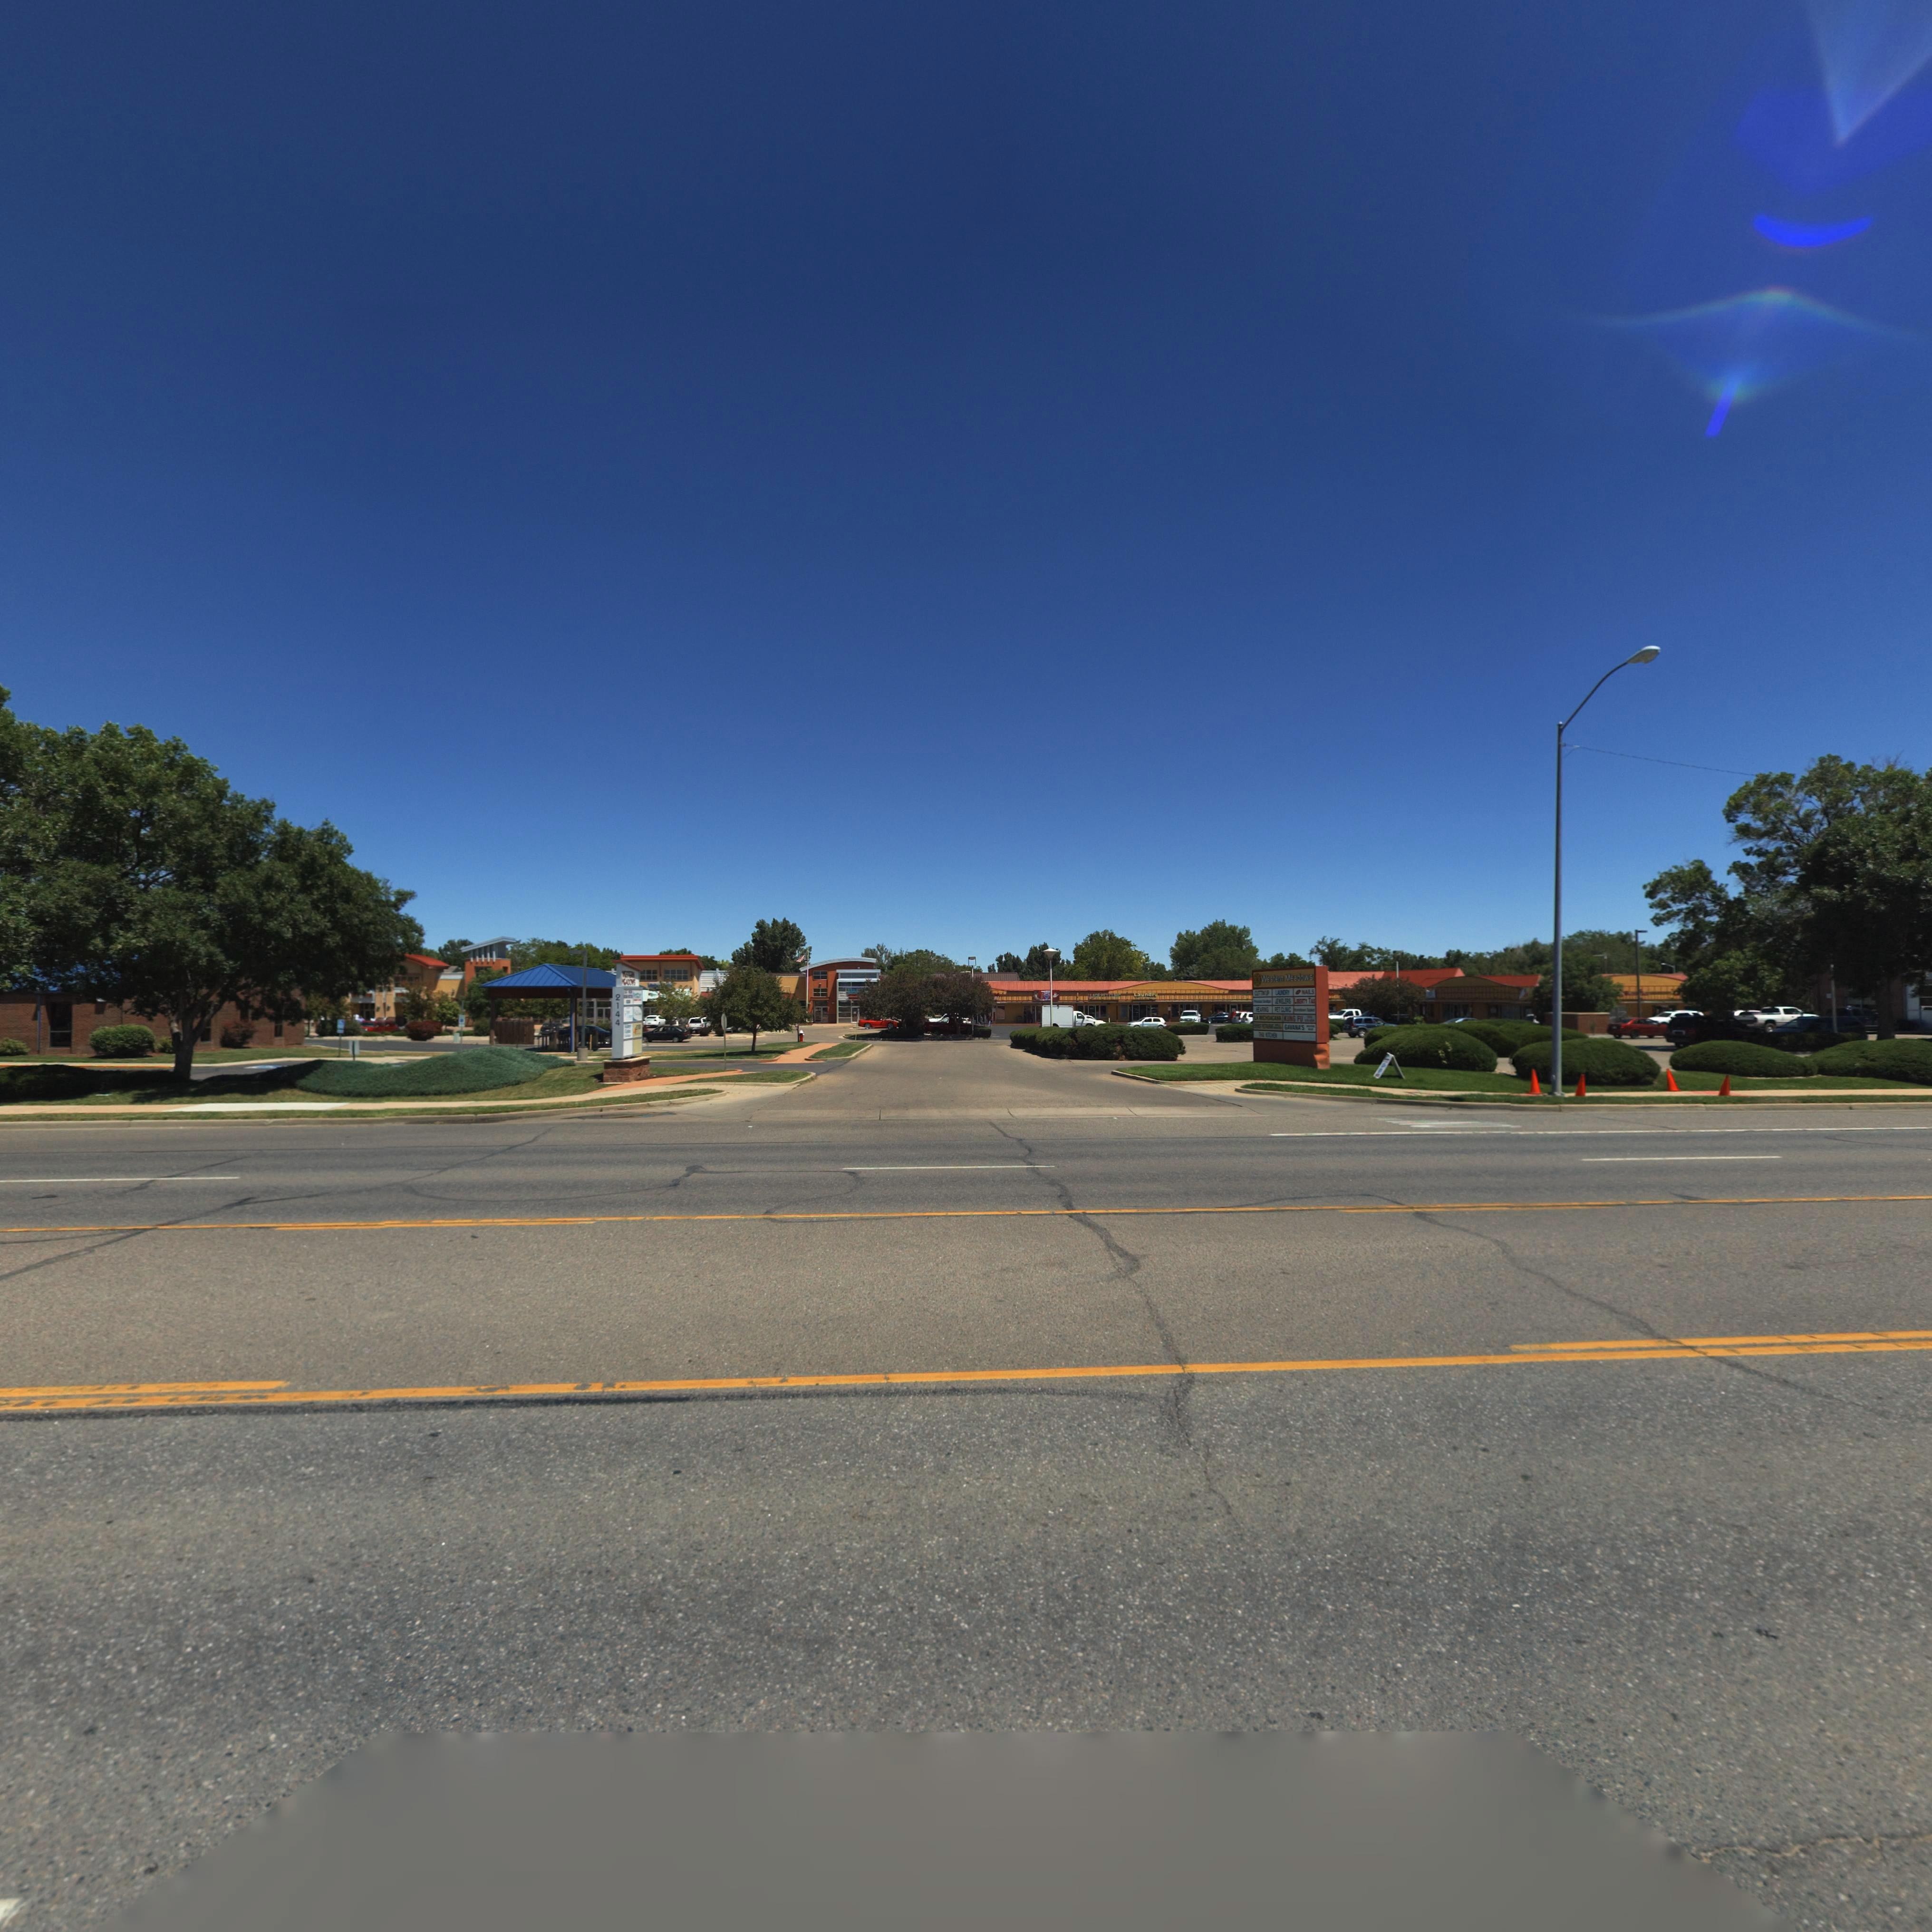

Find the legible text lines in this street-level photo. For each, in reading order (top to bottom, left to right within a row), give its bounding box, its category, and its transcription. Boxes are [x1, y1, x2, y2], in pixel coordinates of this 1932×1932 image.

[1092, 993, 1121, 997] BusinessName: AG* PET CL***C
[1254, 990, 1270, 996] BusinessName: CUTT*N' UP
[1301, 989, 1314, 995] BusinessName: NAILS
[1293, 997, 1316, 1004] BusinessName: LIBERTY TA*
[615, 993, 620, 1026] StreetNumber: 2144
[1254, 1014, 1282, 1021] BusinessName: LA M*CHOACA*A
[1284, 1024, 1305, 1030] BusinessName: GAVANA'S
[1258, 1031, 1277, 1038] BusinessName: TH** **TCHEN